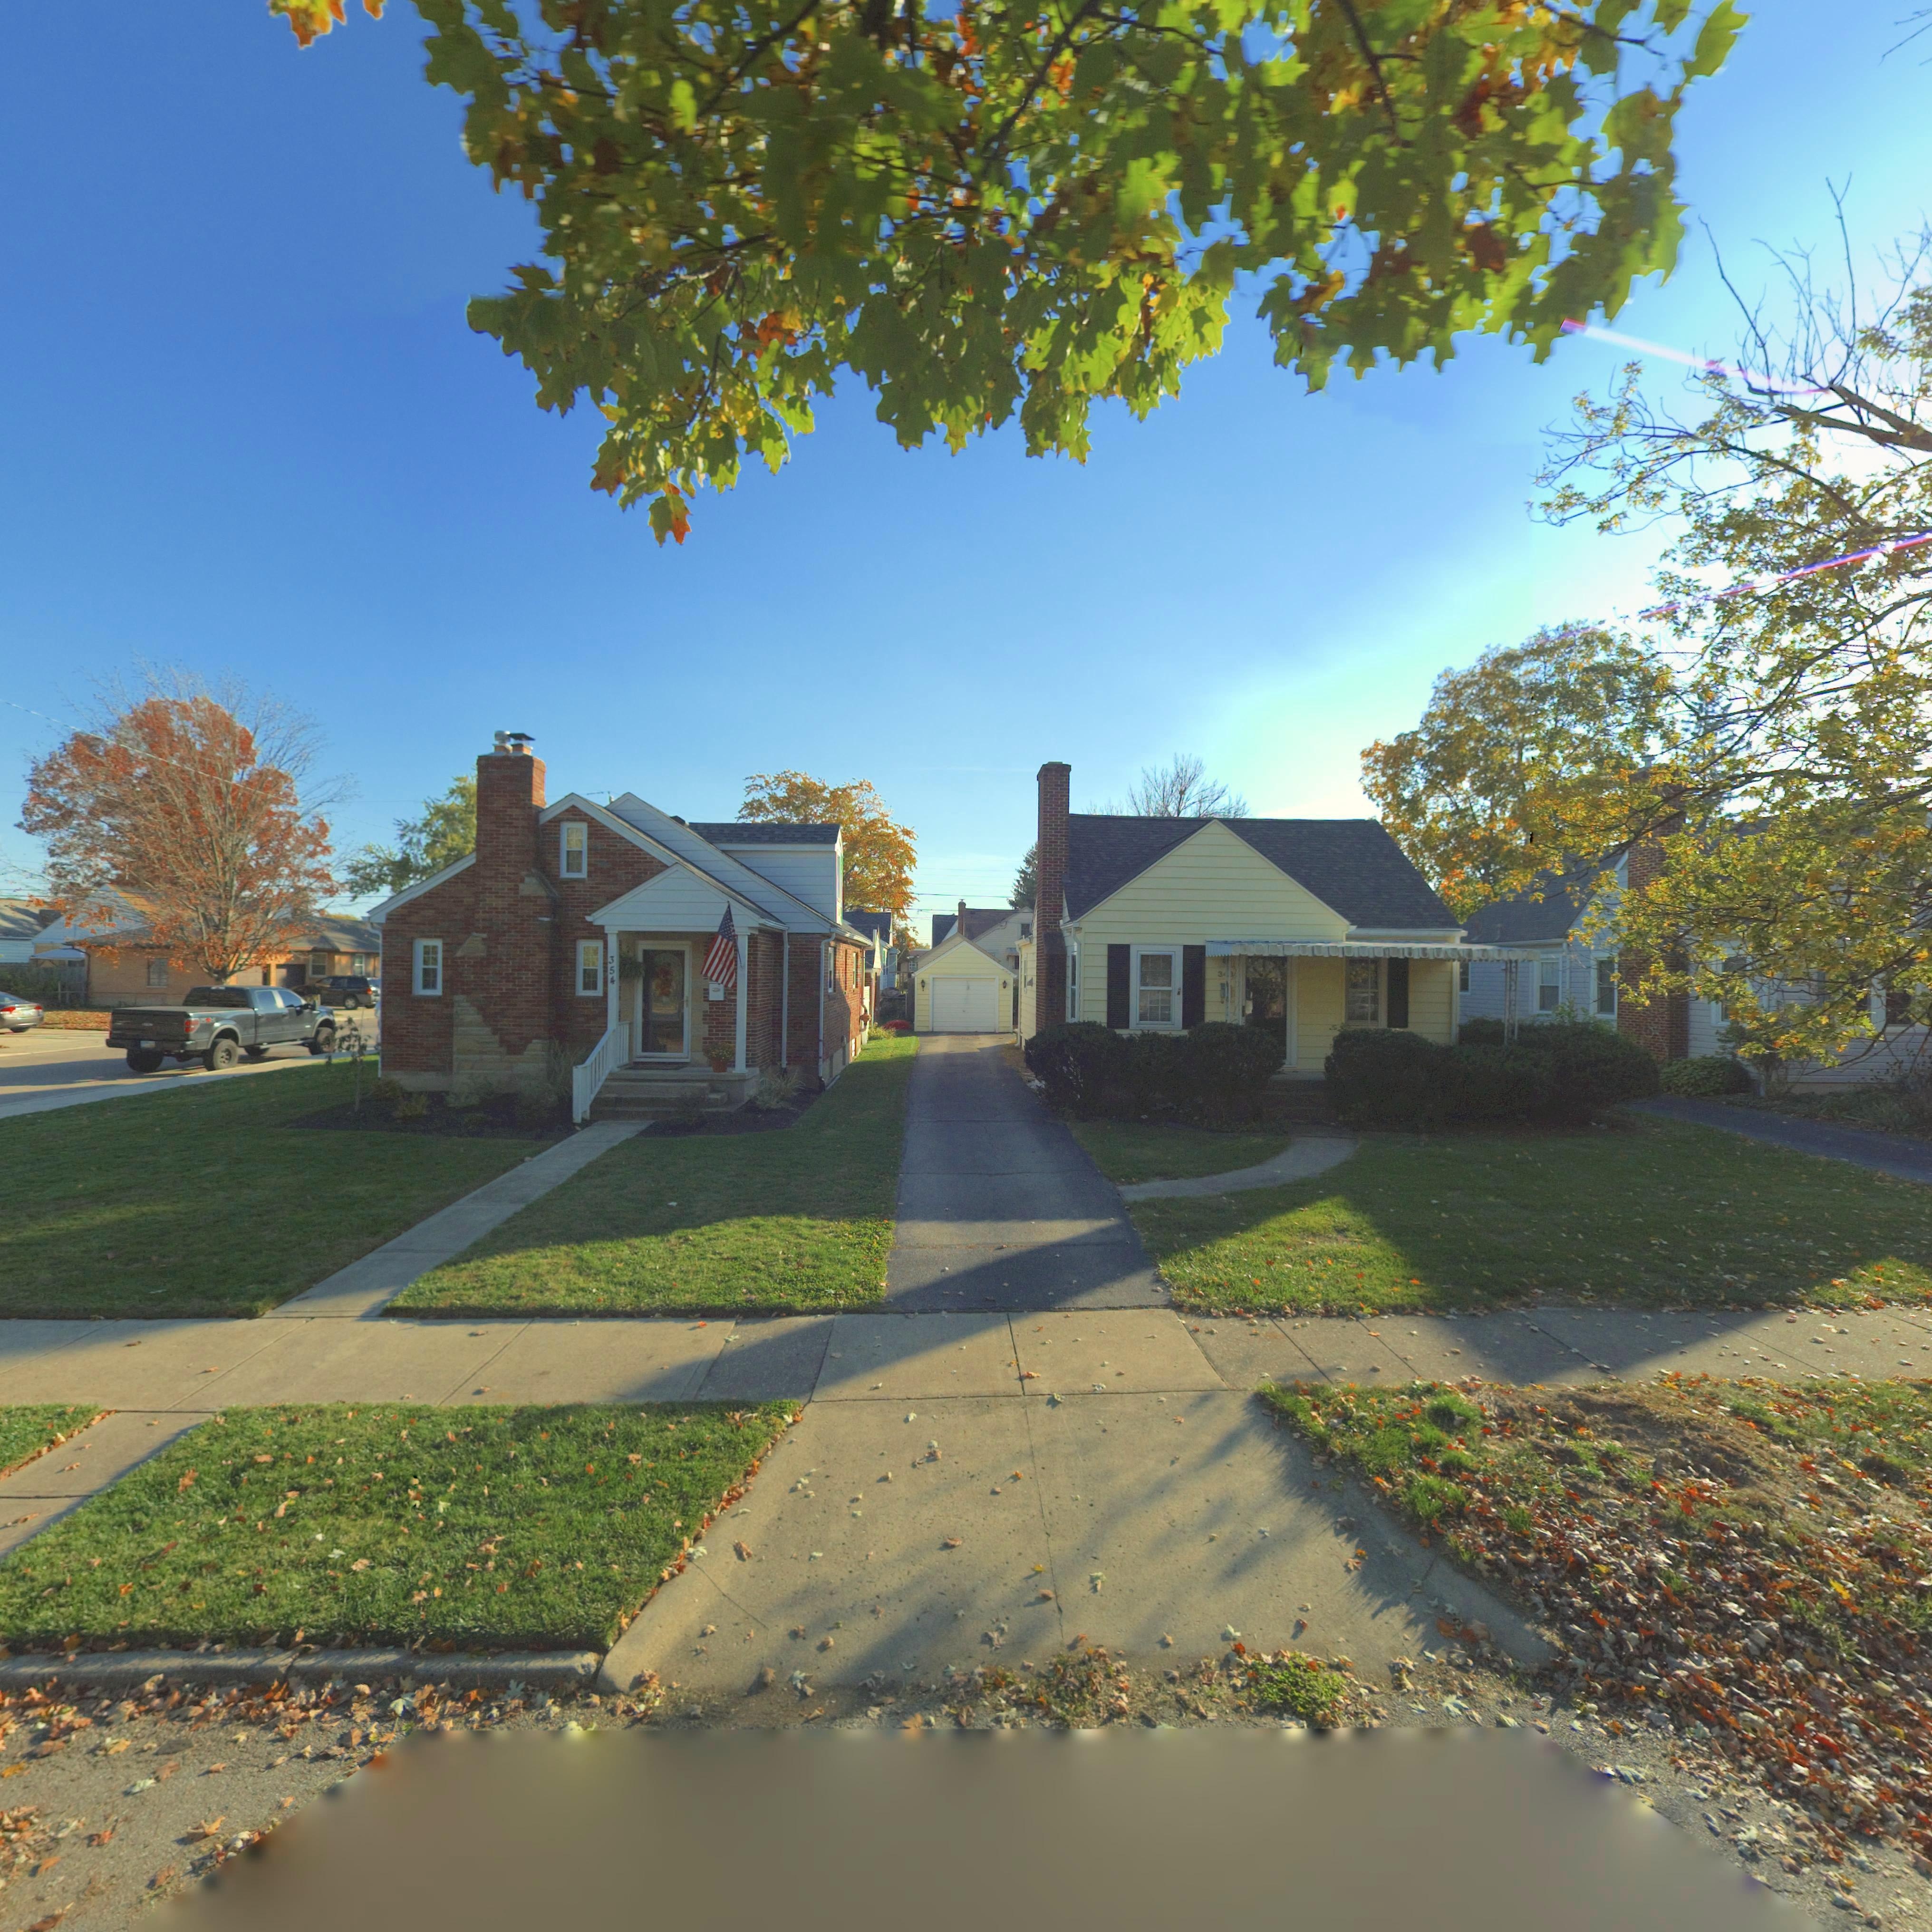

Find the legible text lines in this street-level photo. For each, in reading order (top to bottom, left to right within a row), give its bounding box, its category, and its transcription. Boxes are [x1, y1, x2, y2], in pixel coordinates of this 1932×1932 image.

[609, 955, 616, 985] StreetNumber: 354
[1217, 970, 1233, 977] StreetNumber: 3**